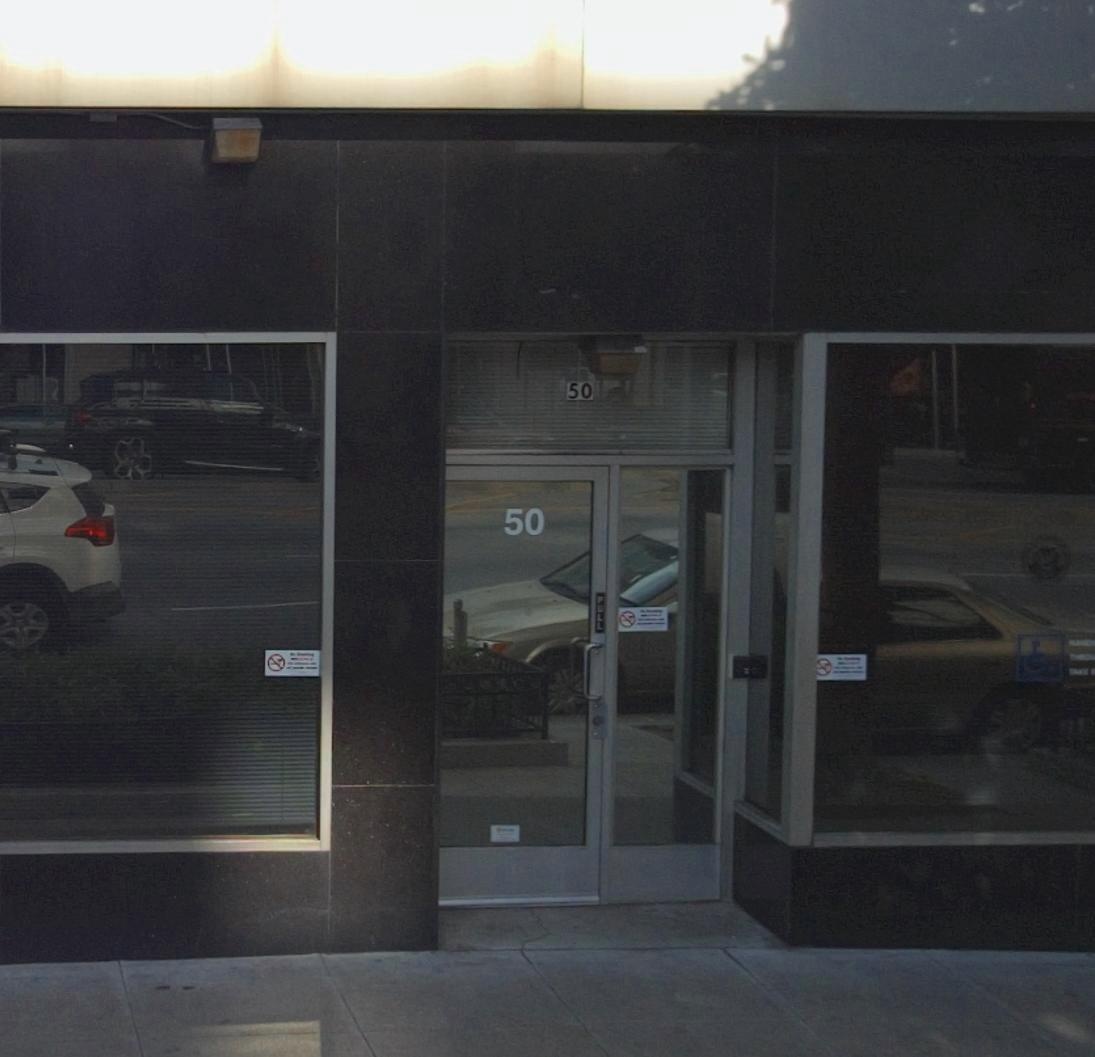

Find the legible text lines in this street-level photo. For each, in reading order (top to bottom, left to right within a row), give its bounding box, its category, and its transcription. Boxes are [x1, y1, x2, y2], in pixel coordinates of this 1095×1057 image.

[566, 381, 592, 400] StreetNumber: 50
[503, 506, 545, 537] StreetNumber: 50